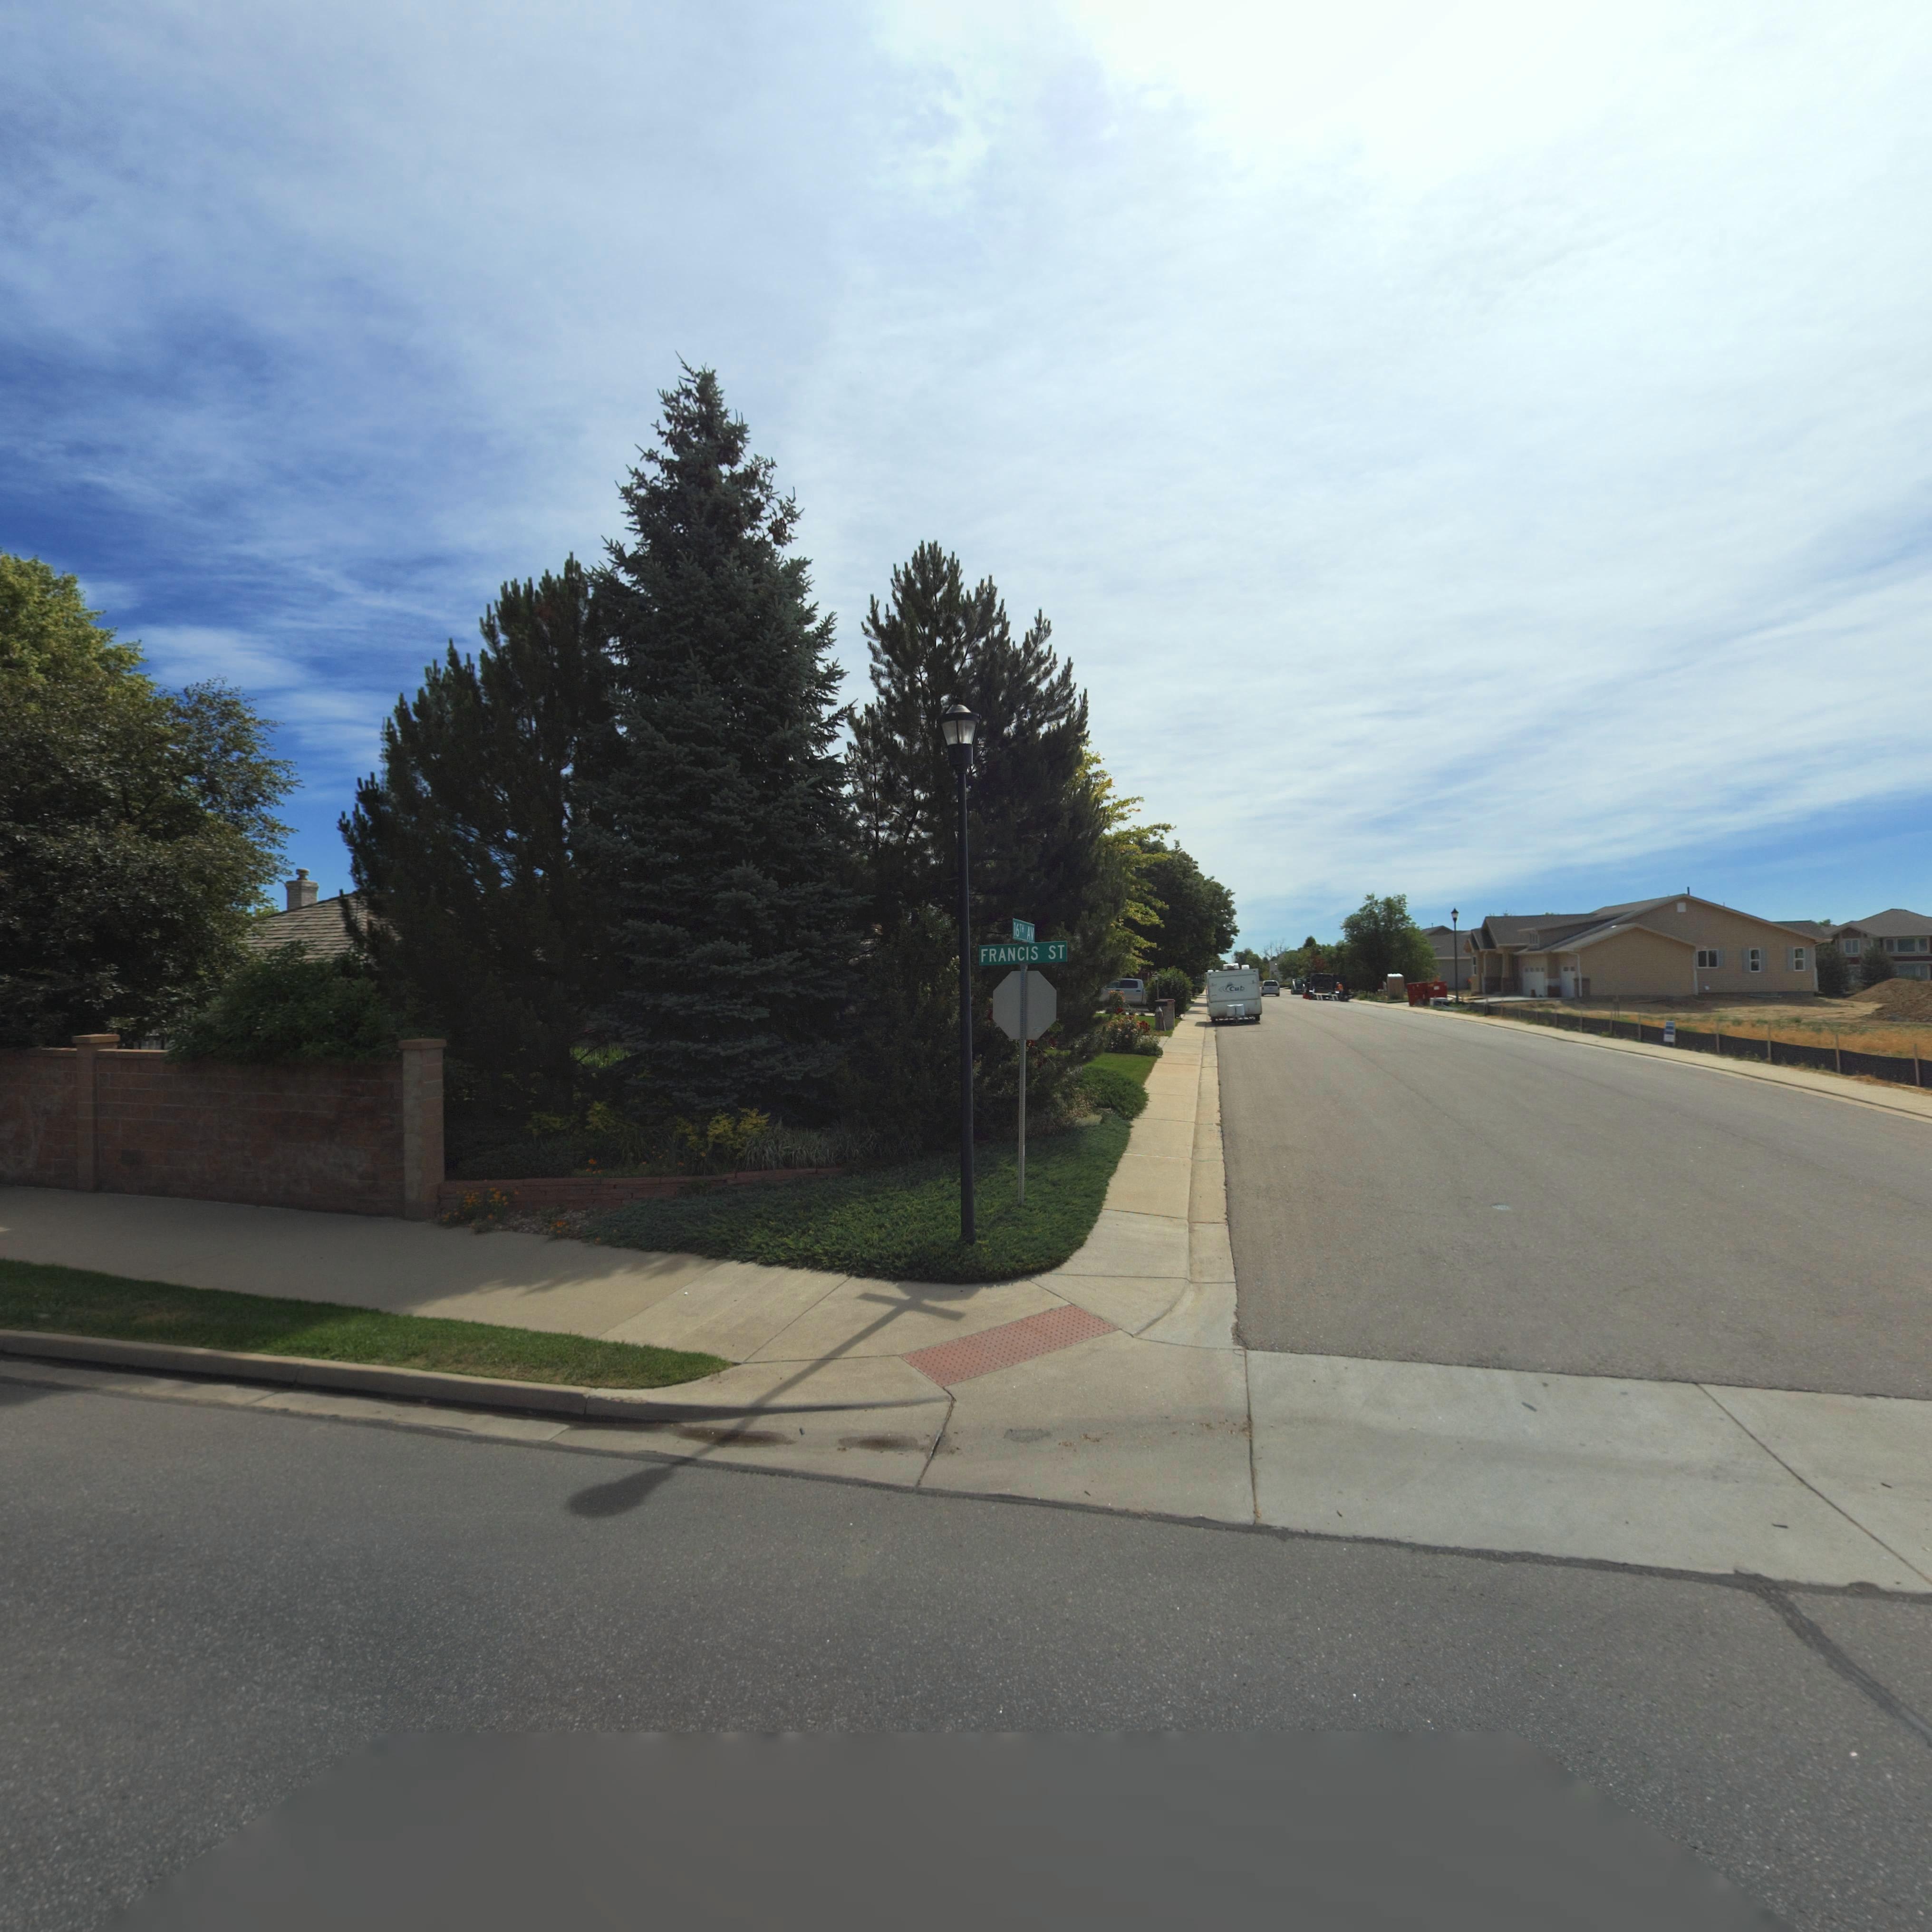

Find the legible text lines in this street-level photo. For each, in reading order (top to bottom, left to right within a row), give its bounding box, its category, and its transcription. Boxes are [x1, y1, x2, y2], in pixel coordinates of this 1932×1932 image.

[1013, 921, 1034, 942] StreetName: 16TH AV
[980, 944, 1064, 963] StreetName: FRANCIS ST